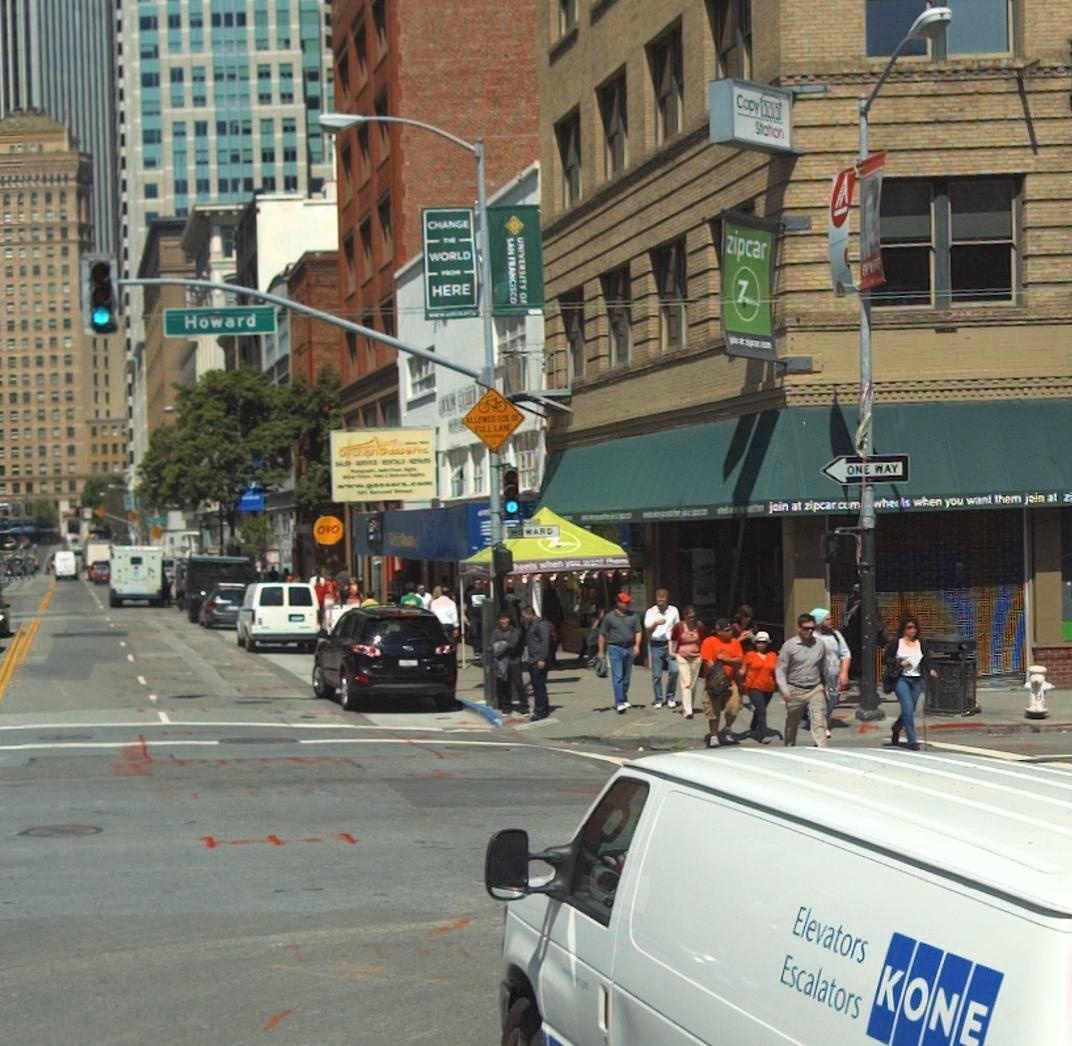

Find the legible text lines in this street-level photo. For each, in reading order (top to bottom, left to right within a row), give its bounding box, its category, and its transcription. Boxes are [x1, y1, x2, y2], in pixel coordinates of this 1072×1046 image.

[735, 91, 760, 116] BusinessName: Copy
[753, 118, 785, 140] BusinessName: Station
[427, 219, 469, 230] None: CHANGE
[725, 224, 770, 265] BusinessName: zipcar
[429, 250, 472, 262] None: WORLD
[432, 283, 471, 297] None: HERE
[183, 311, 257, 329] StreetName: Howard
[847, 464, 898, 474] None: ONE WAY
[767, 500, 860, 515] None: join at zipcar.com
[898, 490, 1062, 510] None: is when you want them join at
[510, 528, 554, 537] StreetName: HOWARD
[787, 901, 875, 968] None: Elevators
[775, 948, 868, 1023] None: Escalators
[873, 963, 963, 1039] None: KNO